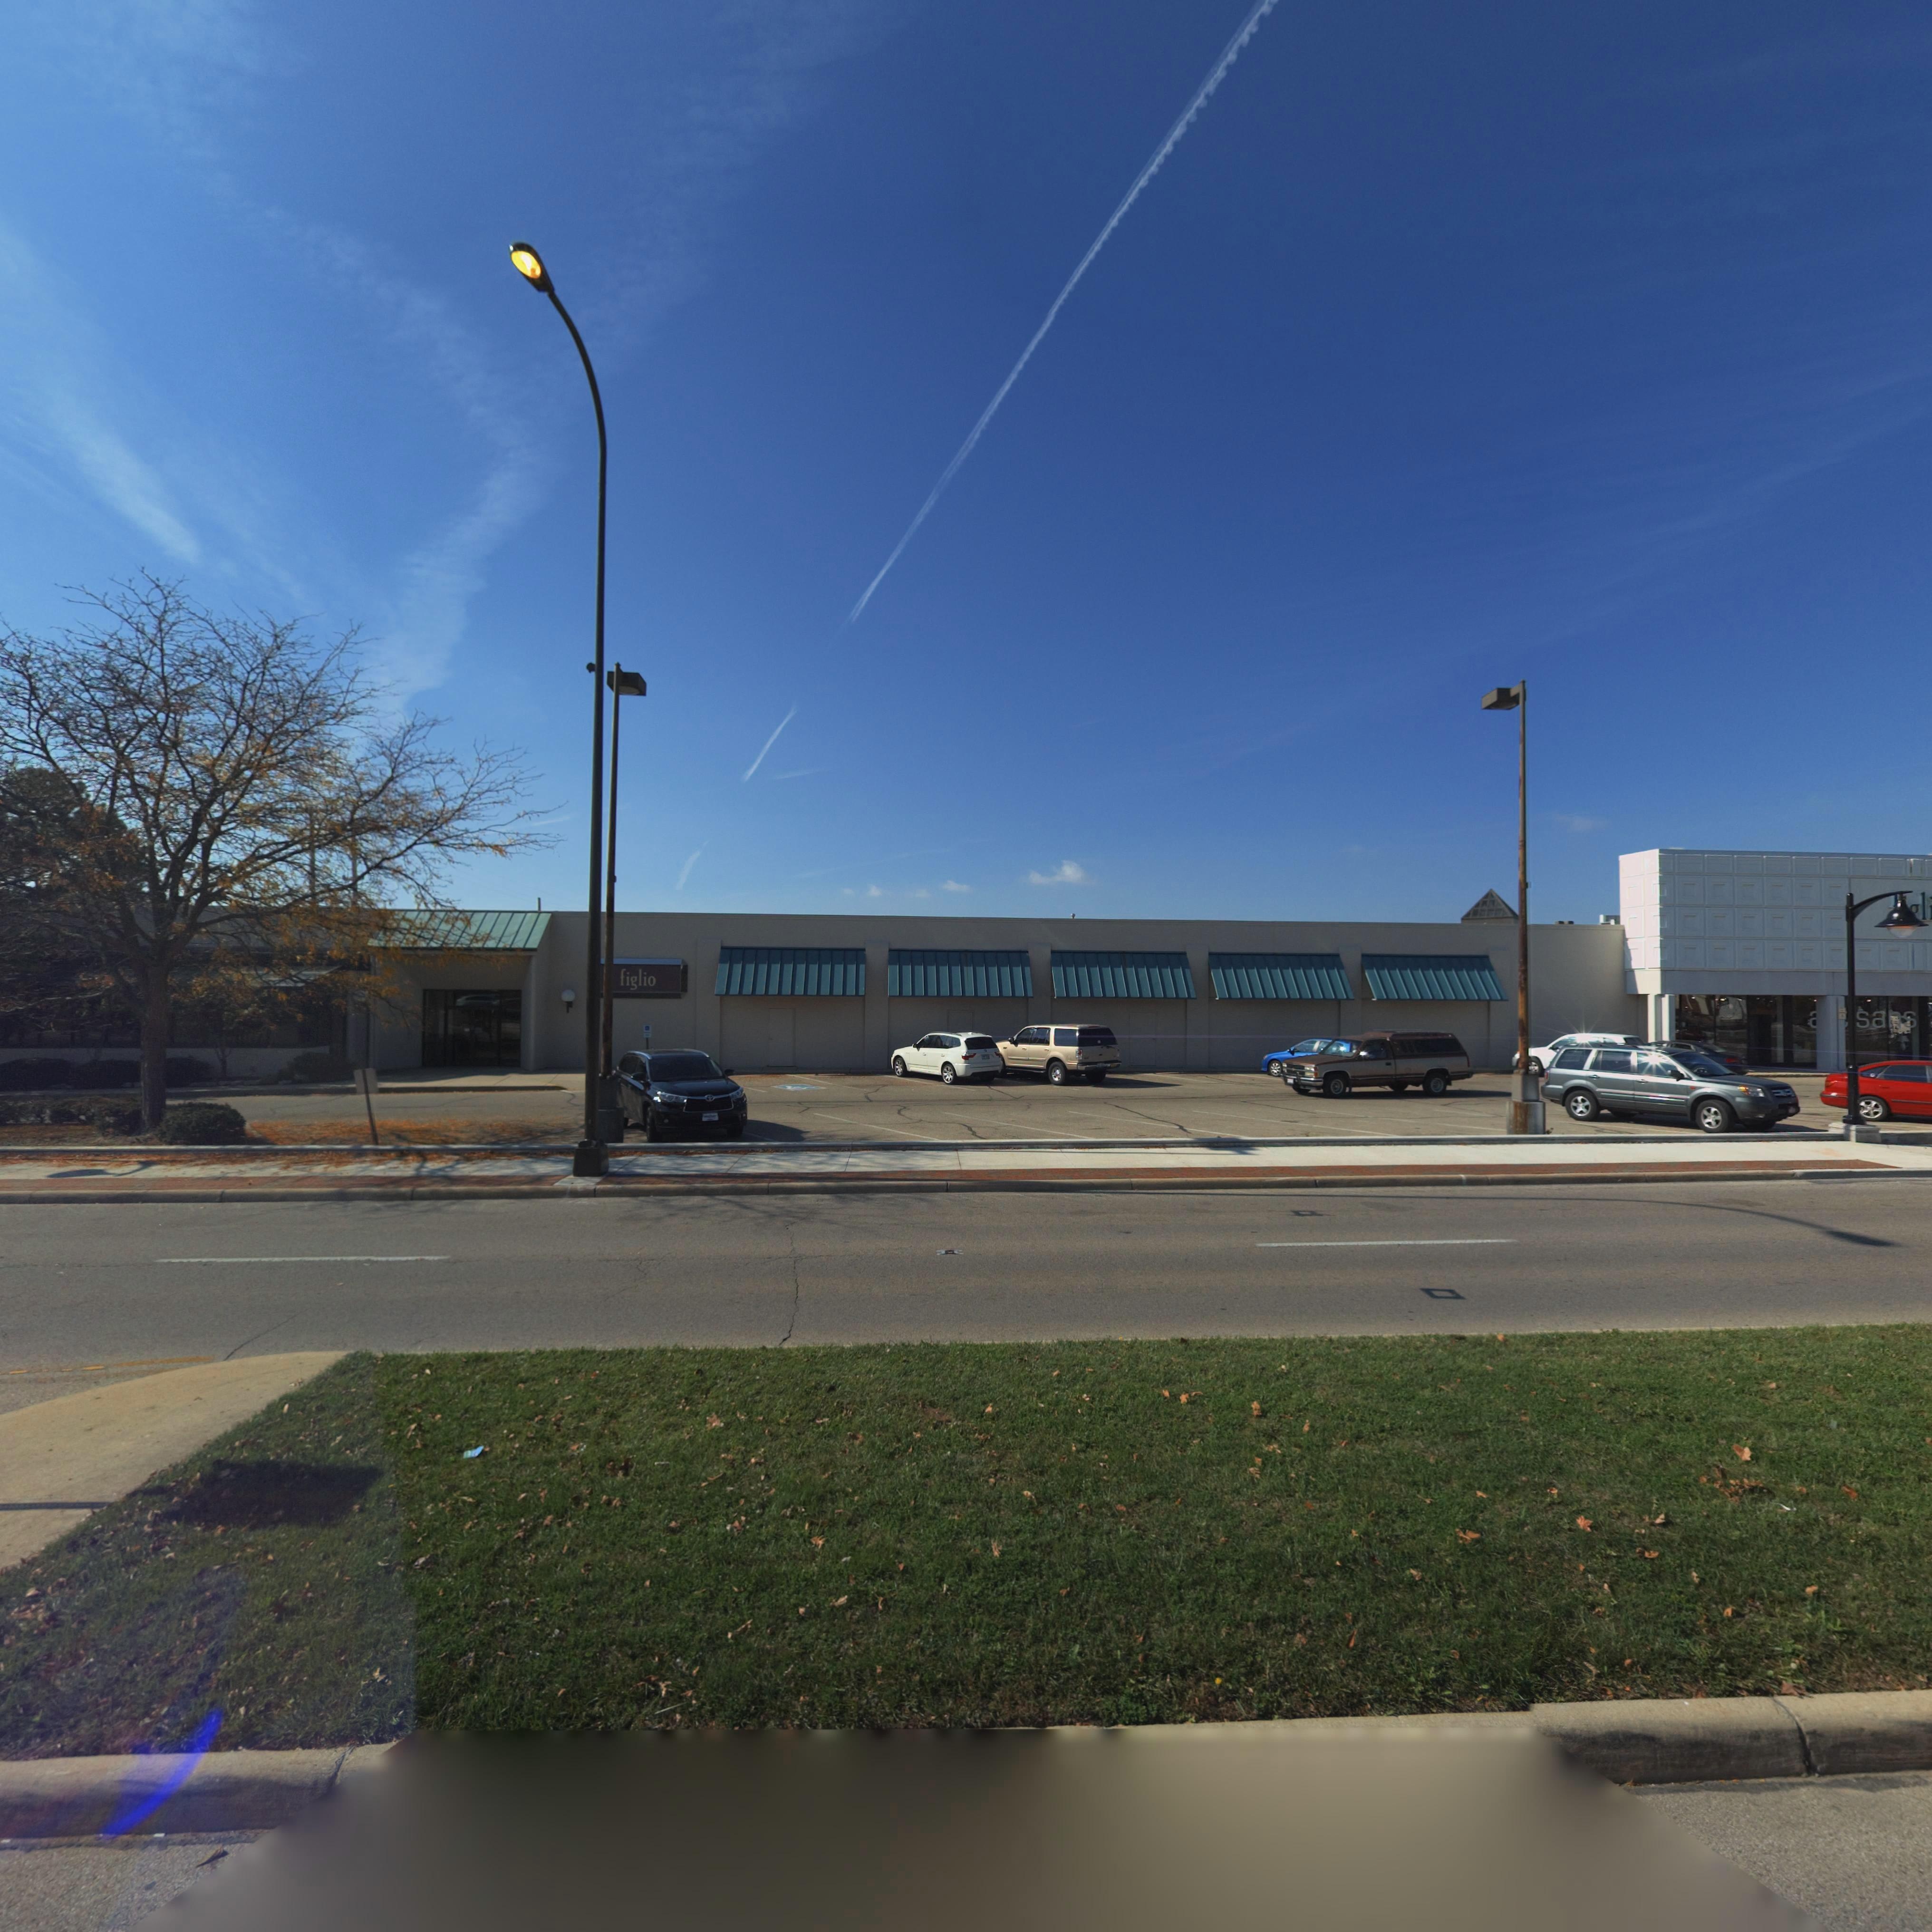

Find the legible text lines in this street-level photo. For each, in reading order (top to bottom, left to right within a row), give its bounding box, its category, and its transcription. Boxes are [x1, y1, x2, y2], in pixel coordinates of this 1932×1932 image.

[619, 968, 657, 991] BusinessName: figlio
[1855, 1010, 1917, 1029] None: sans